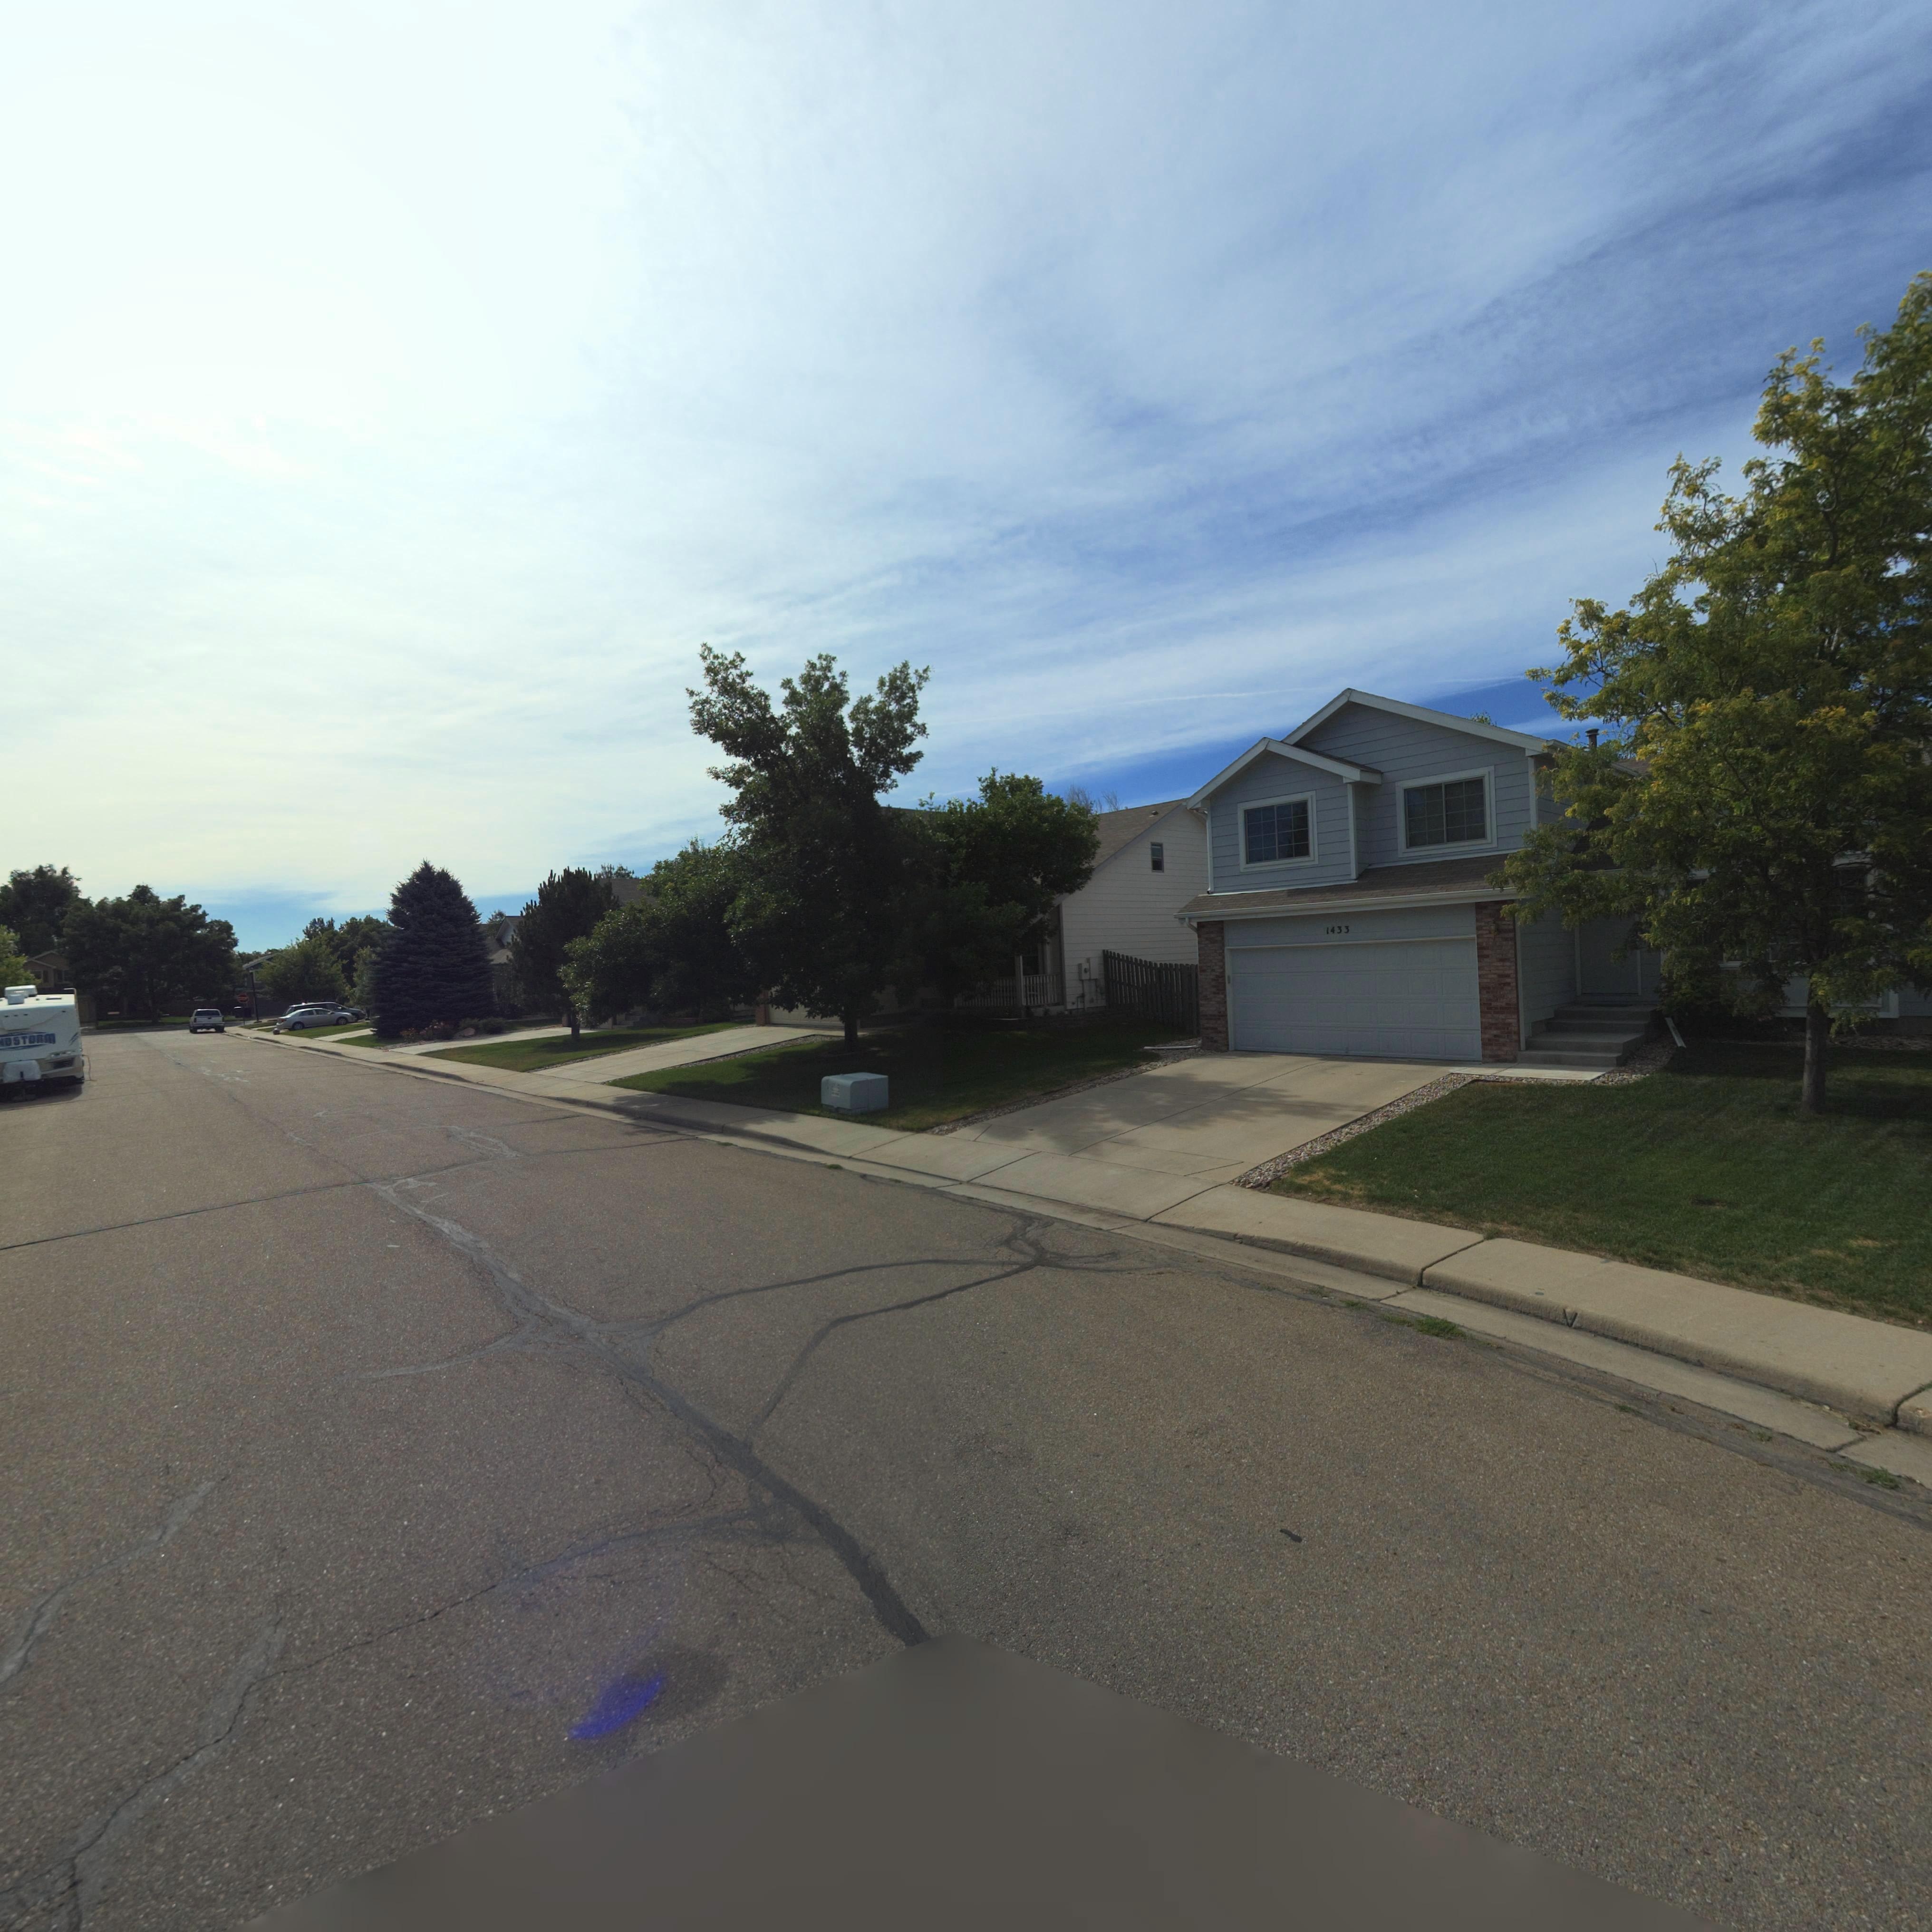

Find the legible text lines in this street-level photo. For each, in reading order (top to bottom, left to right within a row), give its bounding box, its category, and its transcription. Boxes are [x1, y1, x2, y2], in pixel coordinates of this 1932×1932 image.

[1326, 925, 1350, 935] StreetNumber: 1433